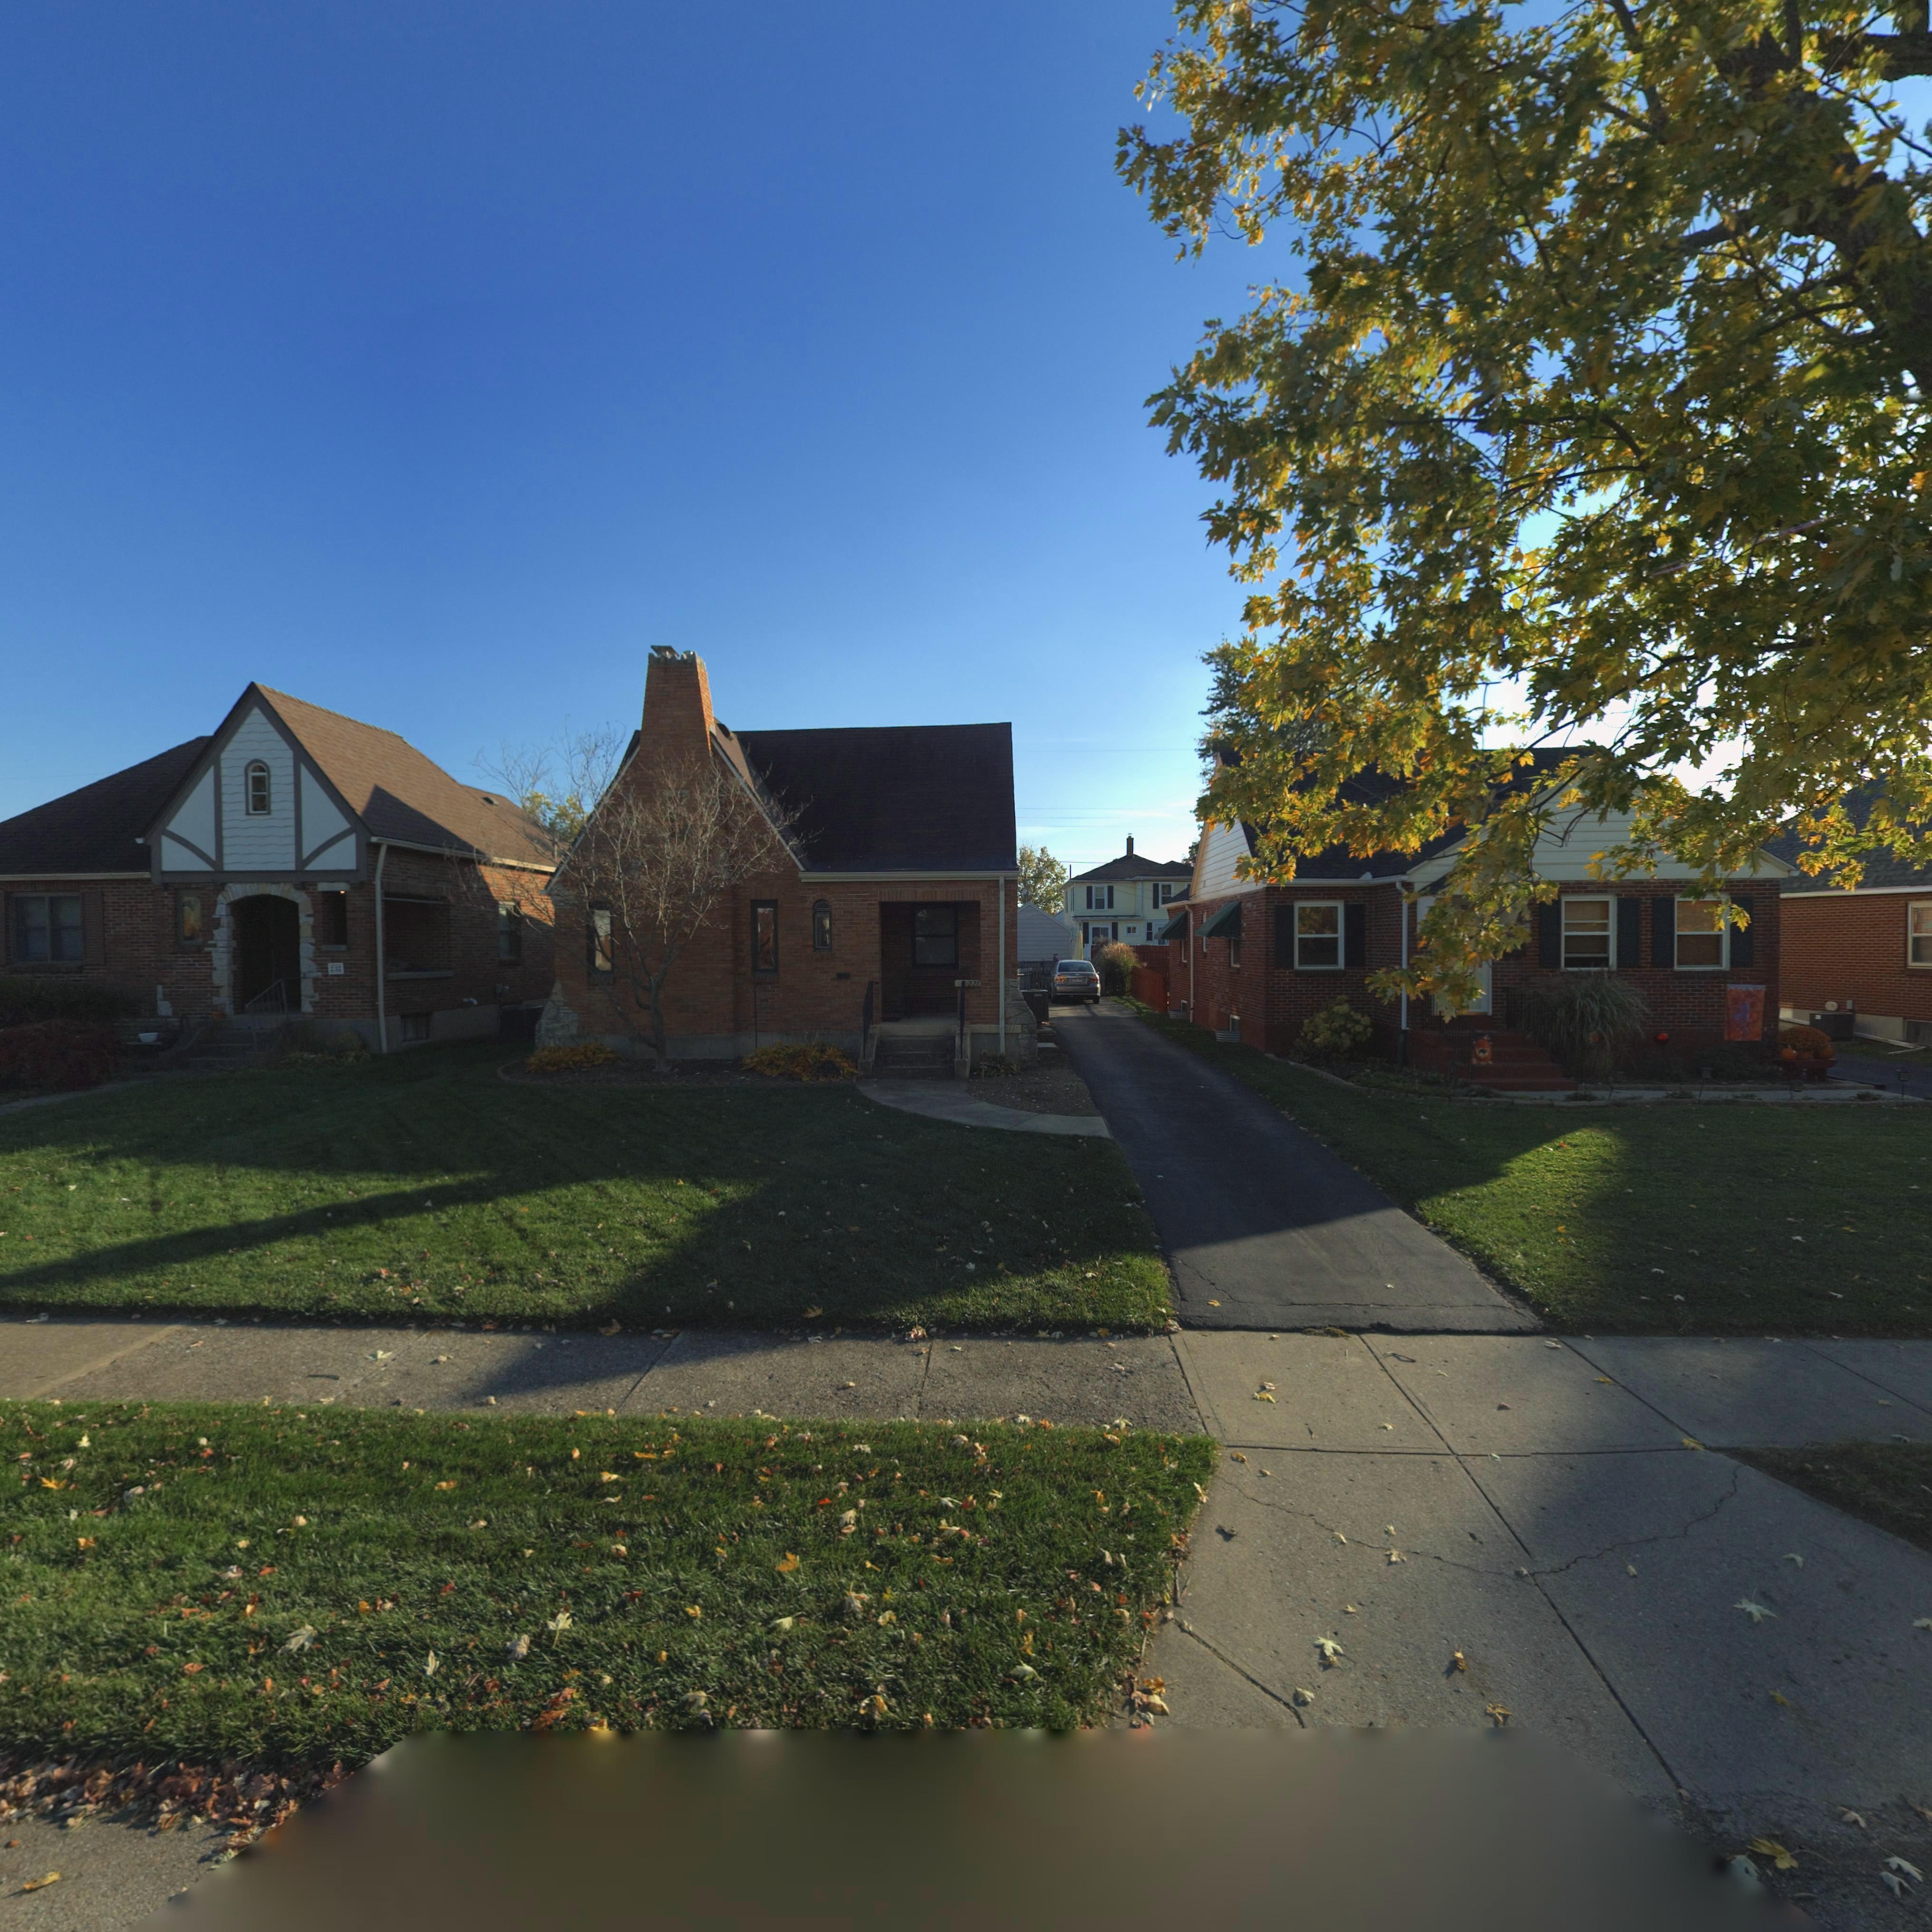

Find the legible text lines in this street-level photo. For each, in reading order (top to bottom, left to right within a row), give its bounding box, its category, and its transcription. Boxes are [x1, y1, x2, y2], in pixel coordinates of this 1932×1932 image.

[329, 966, 342, 972] StreetNumber: 232
[967, 980, 980, 987] StreetNumber: 228